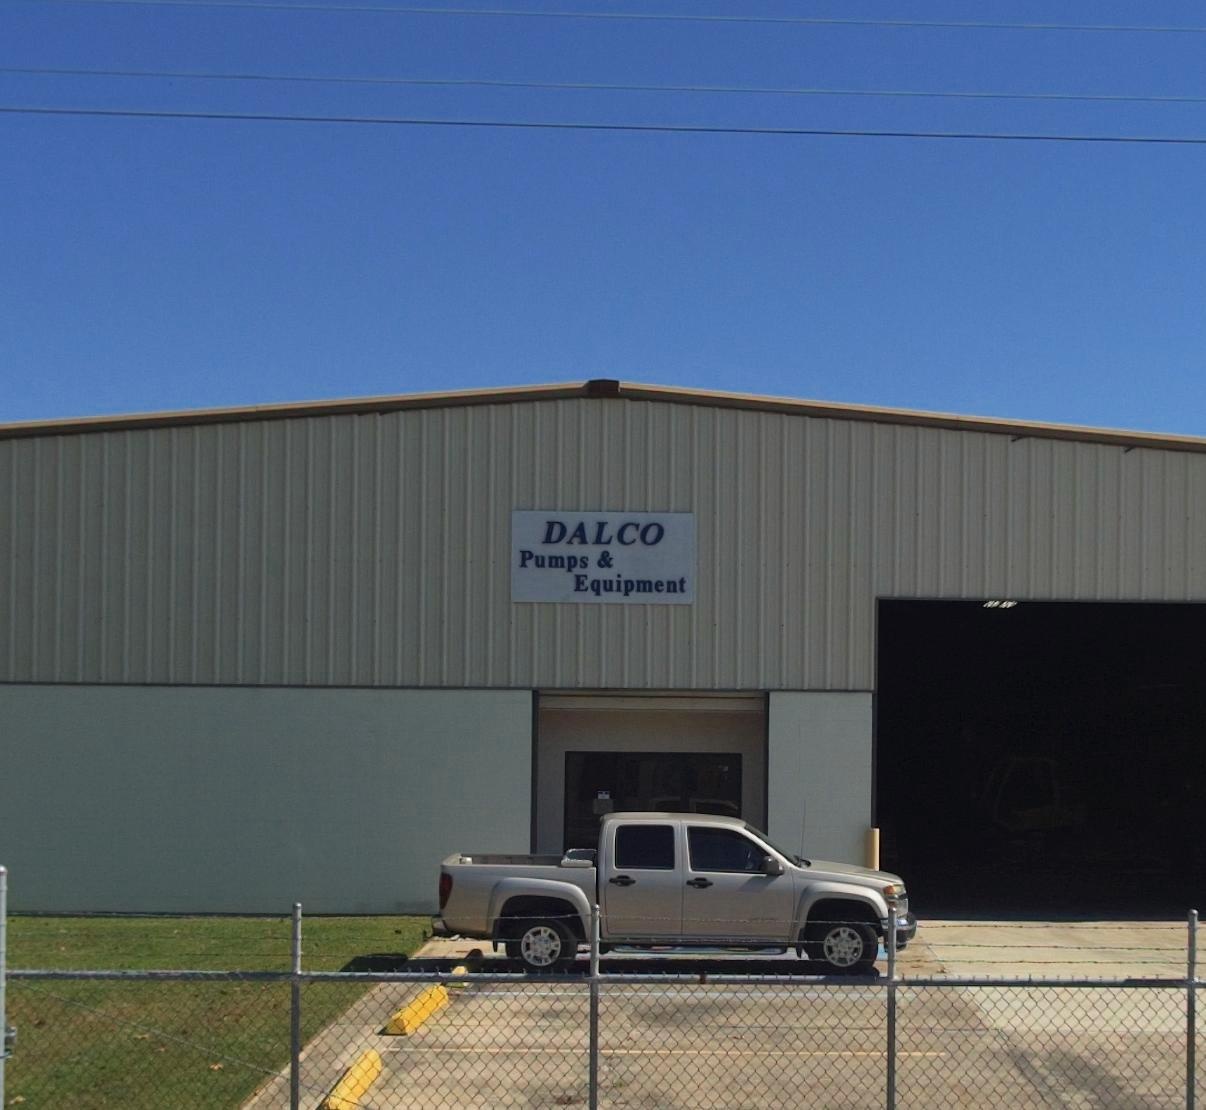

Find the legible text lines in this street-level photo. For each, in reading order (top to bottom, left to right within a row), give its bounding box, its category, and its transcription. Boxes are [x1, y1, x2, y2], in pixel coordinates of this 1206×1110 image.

[538, 518, 669, 547] BusinessName: DALCO
[517, 547, 591, 575] BusinessName: Pumps
[572, 572, 689, 600] BusinessName: Equipment